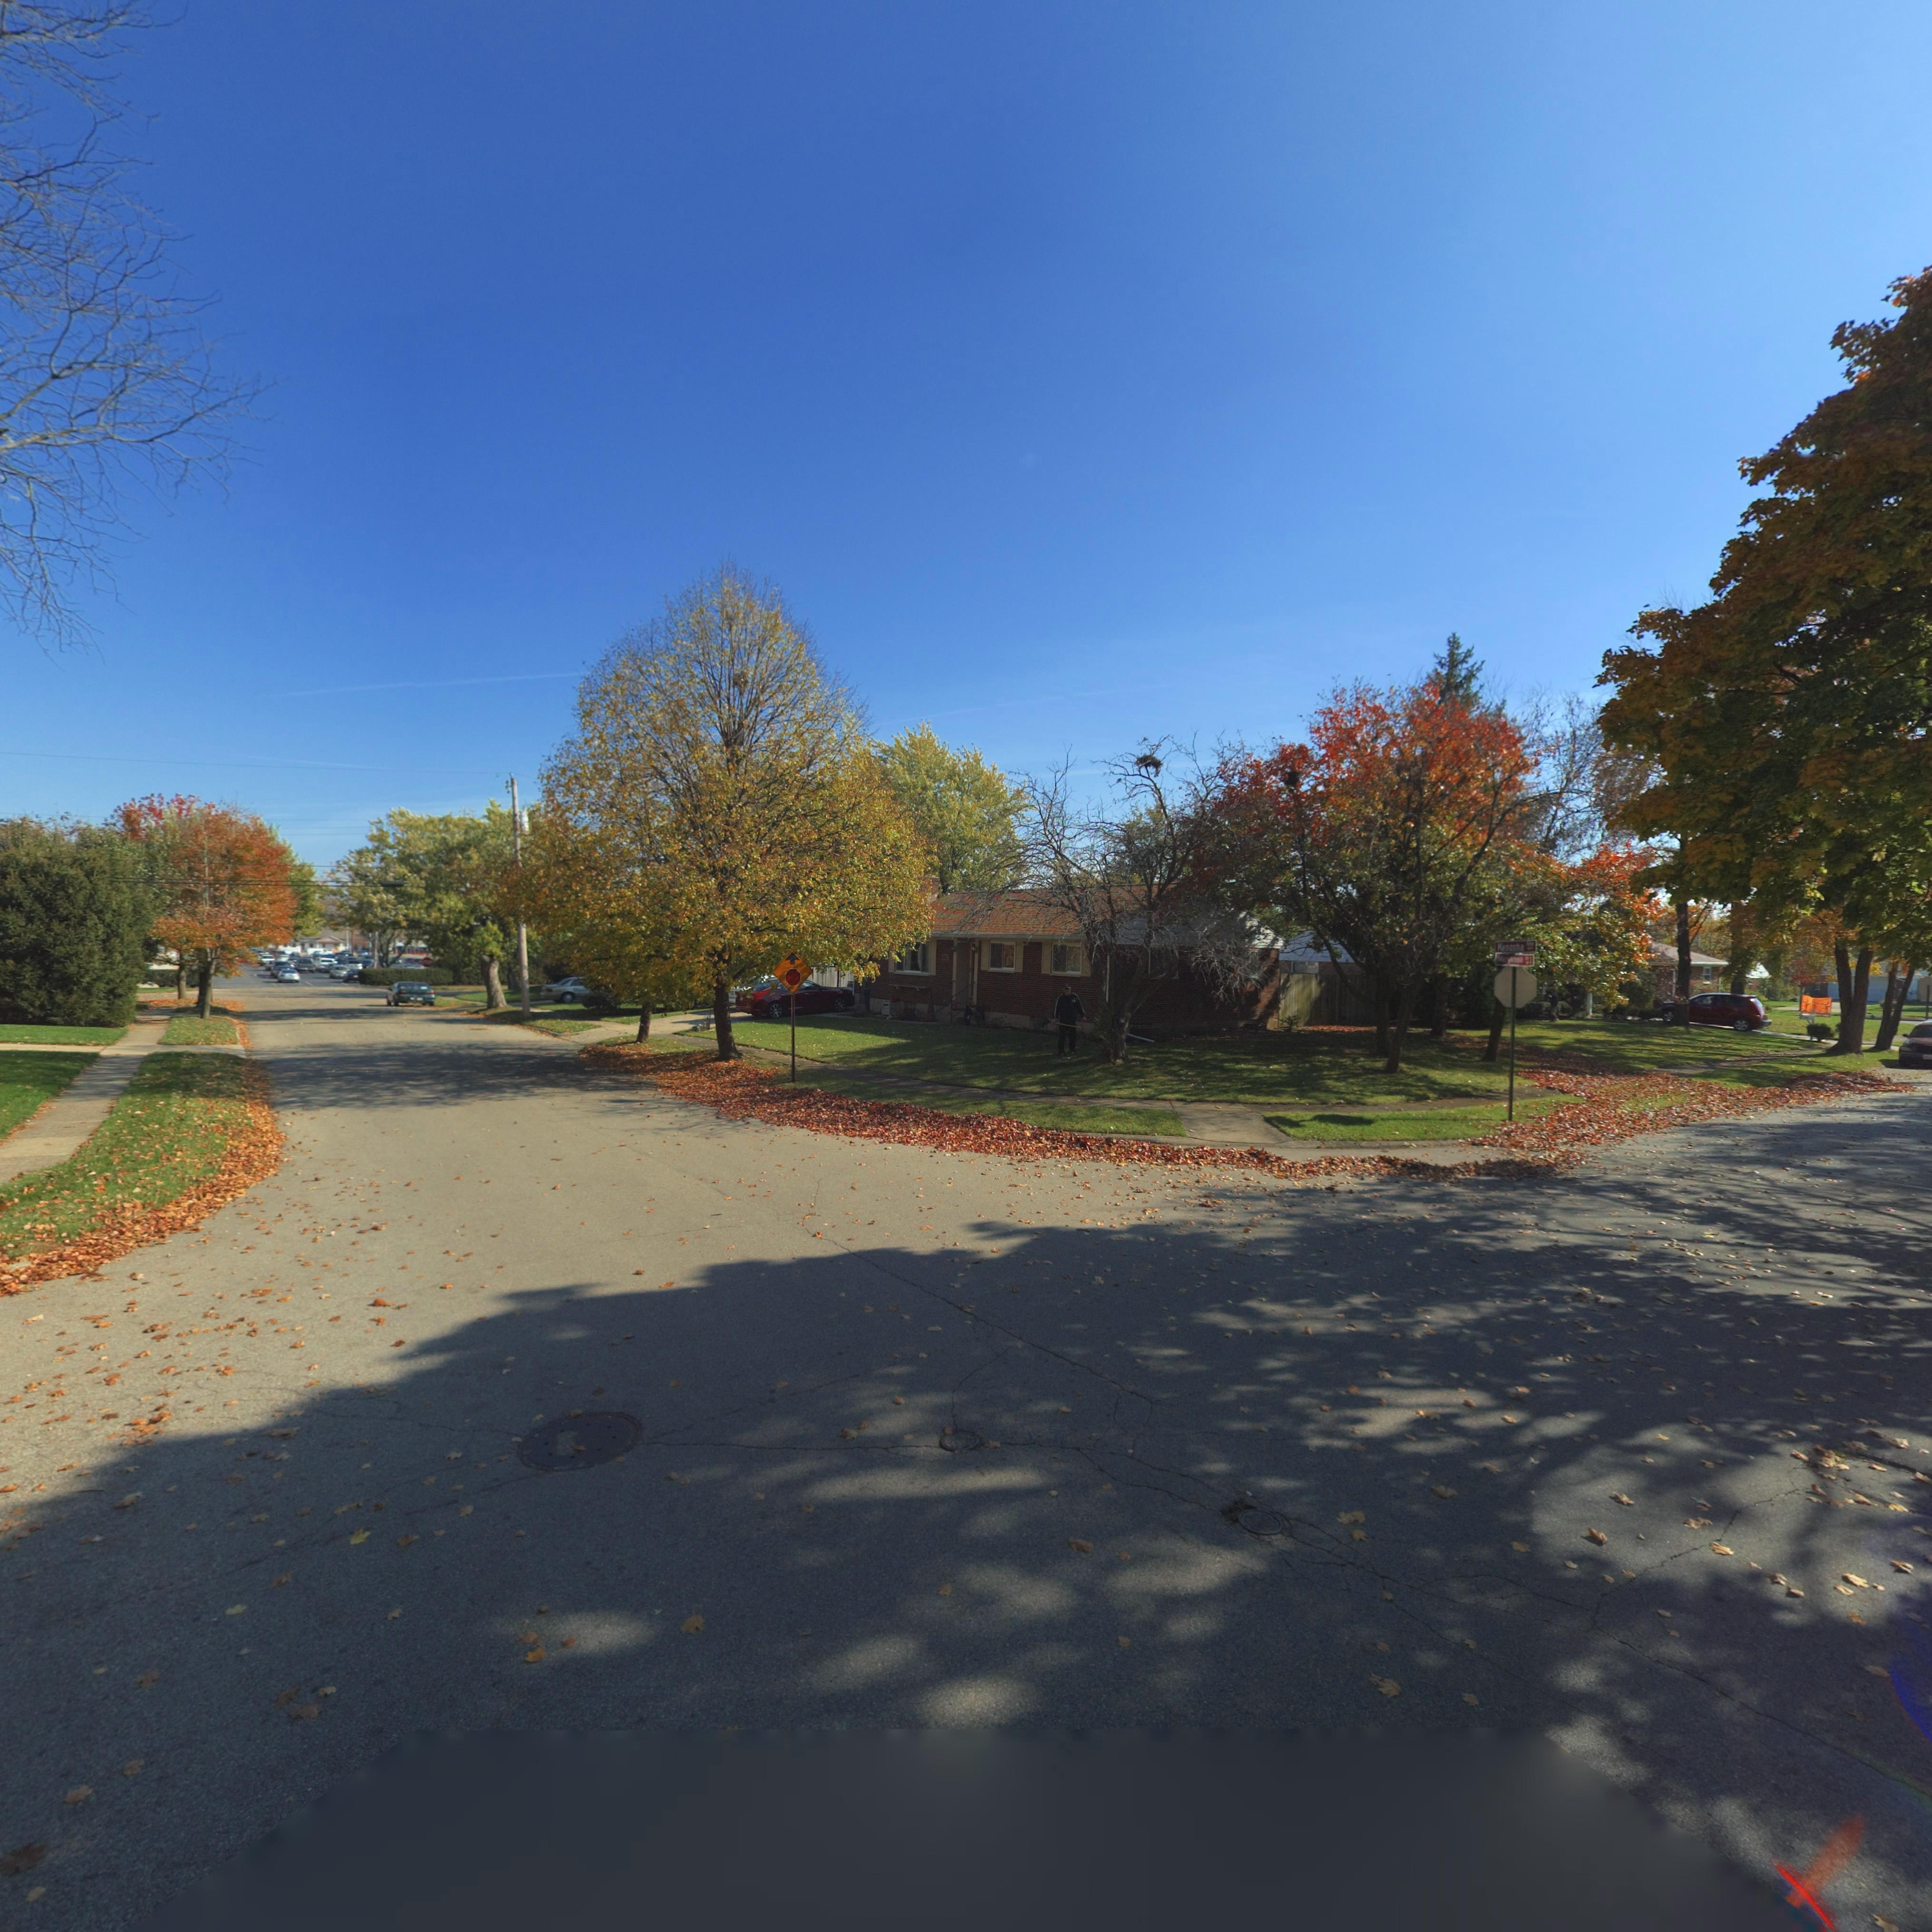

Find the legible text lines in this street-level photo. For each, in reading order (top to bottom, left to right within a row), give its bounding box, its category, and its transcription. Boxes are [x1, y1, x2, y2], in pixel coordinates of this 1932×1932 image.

[1497, 941, 1534, 951] StreetName: Kenosha Rd
[1497, 955, 1529, 966] StreetName: Maryknoll Dr